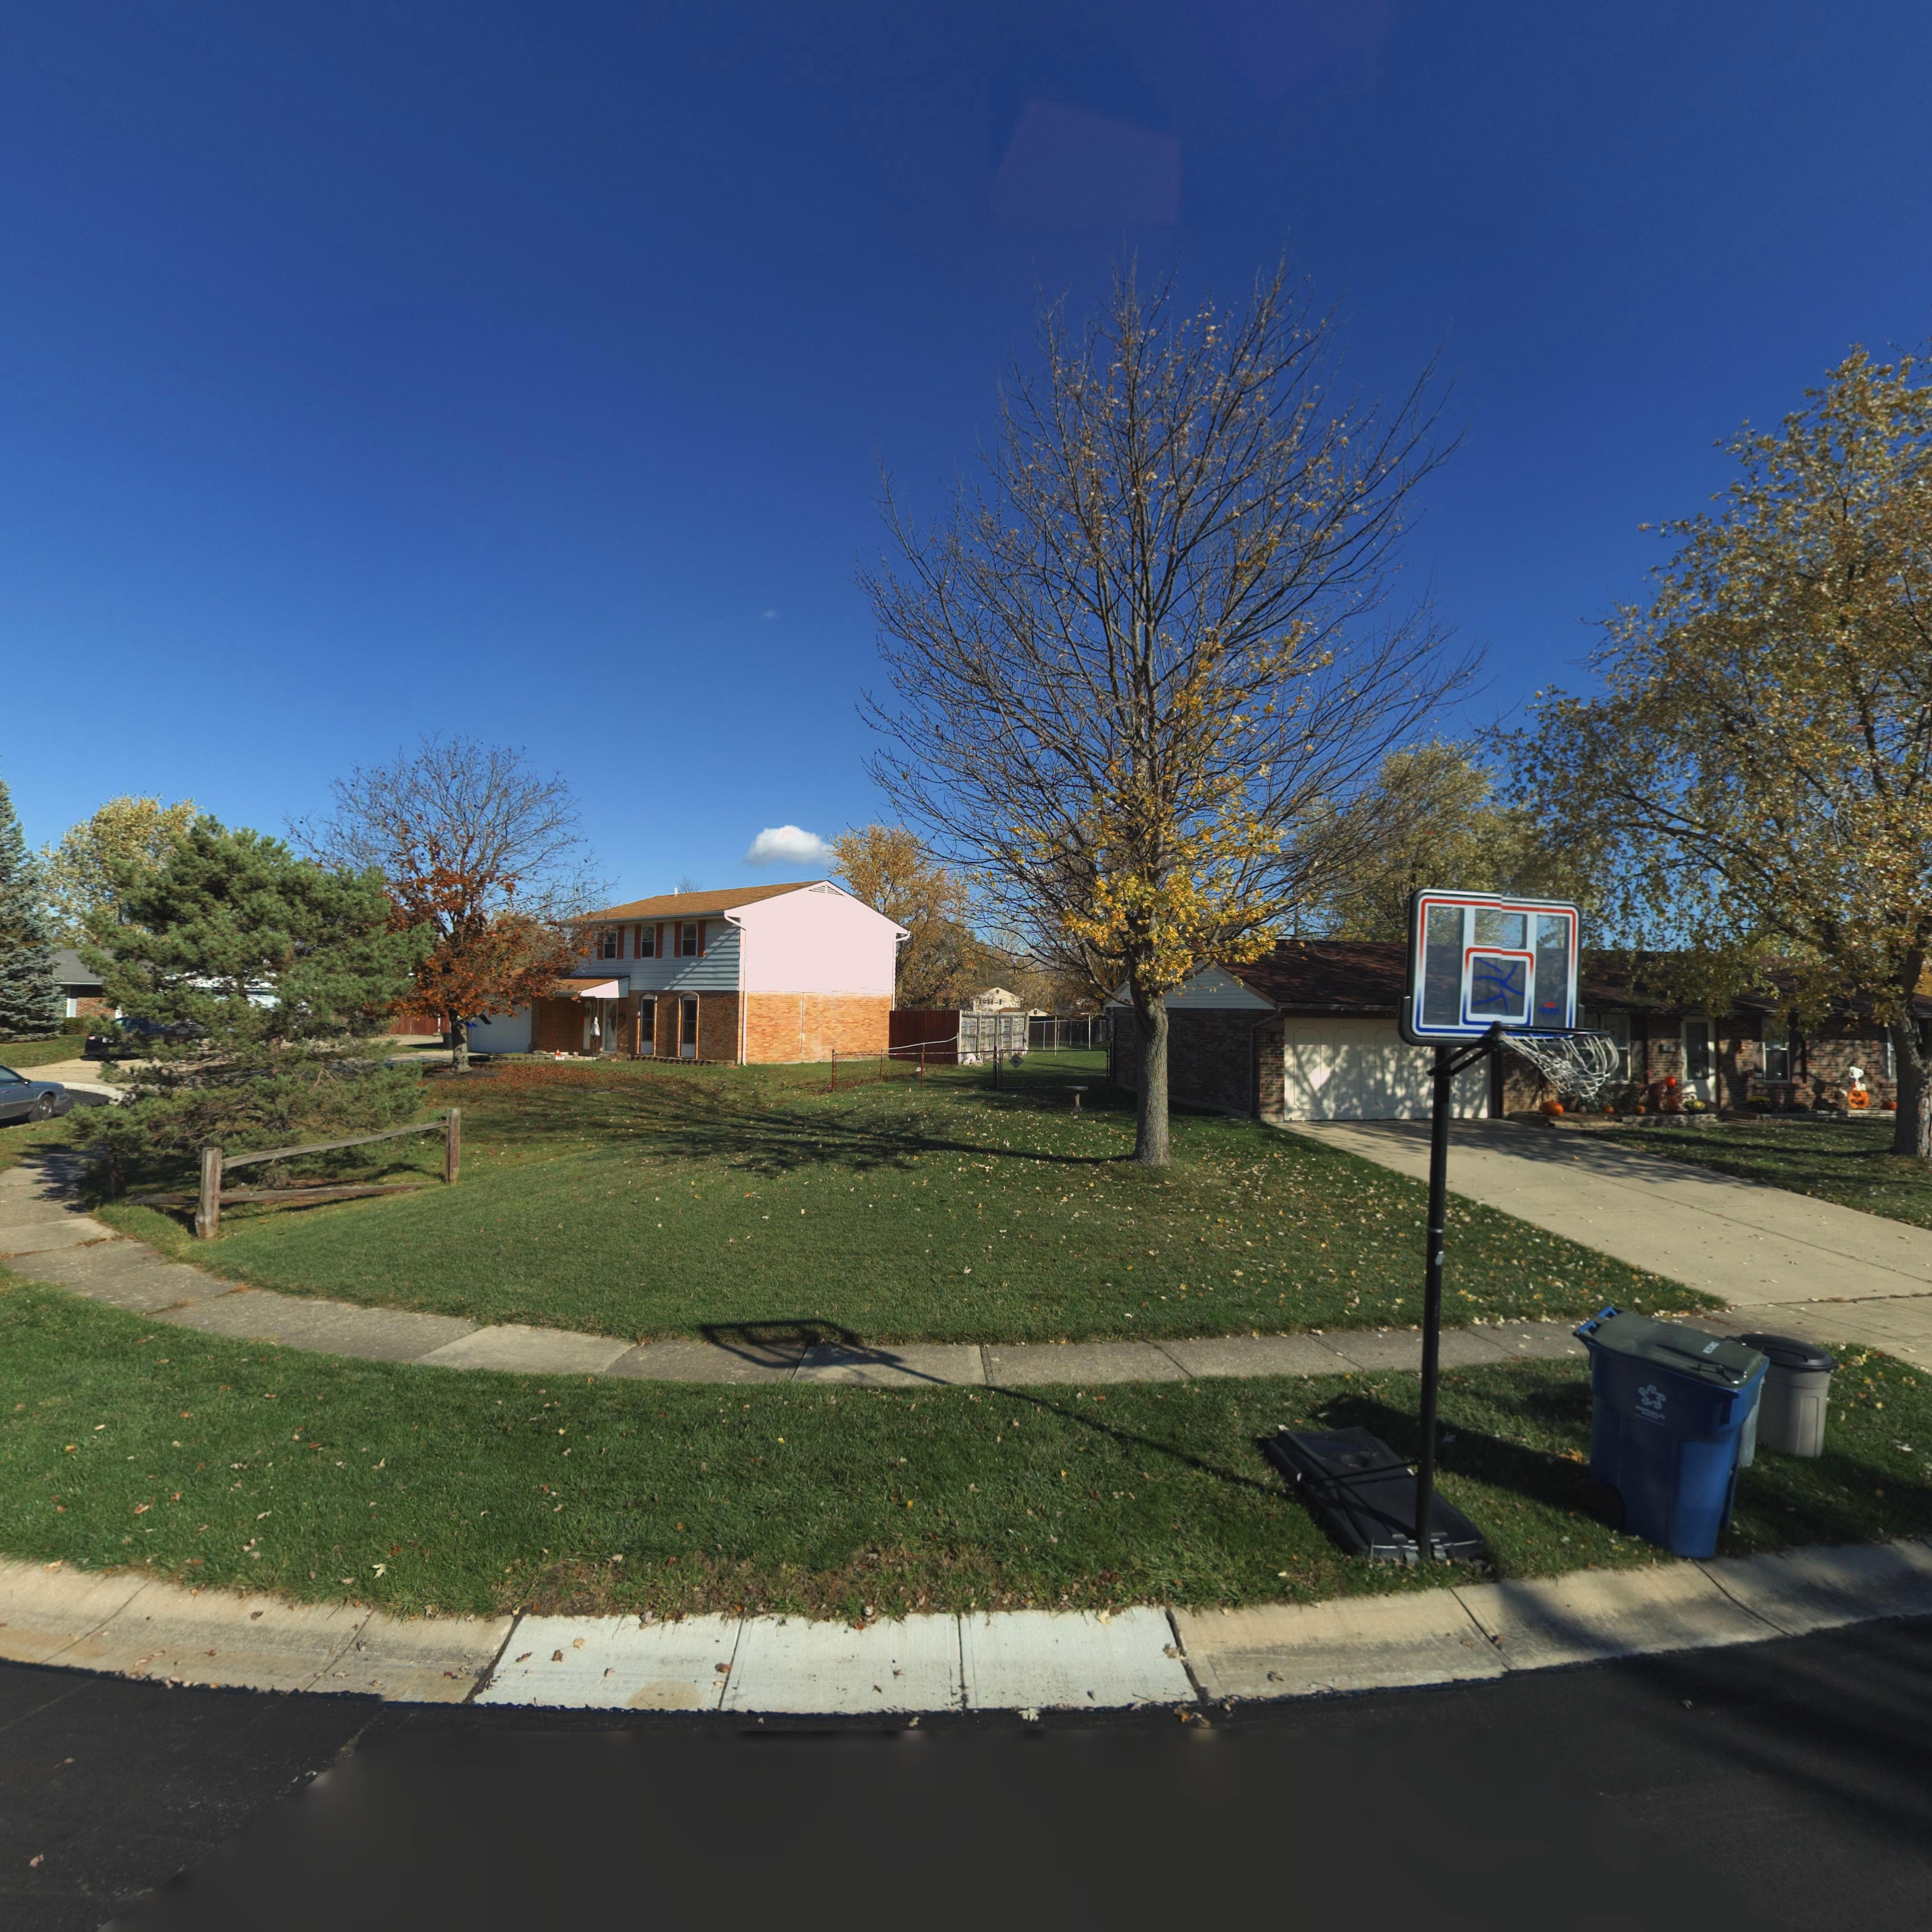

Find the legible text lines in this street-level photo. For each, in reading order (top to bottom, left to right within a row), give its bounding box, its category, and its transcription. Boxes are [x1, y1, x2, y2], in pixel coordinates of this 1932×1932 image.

[1385, 1011, 1395, 1018] StreetNumber: 69